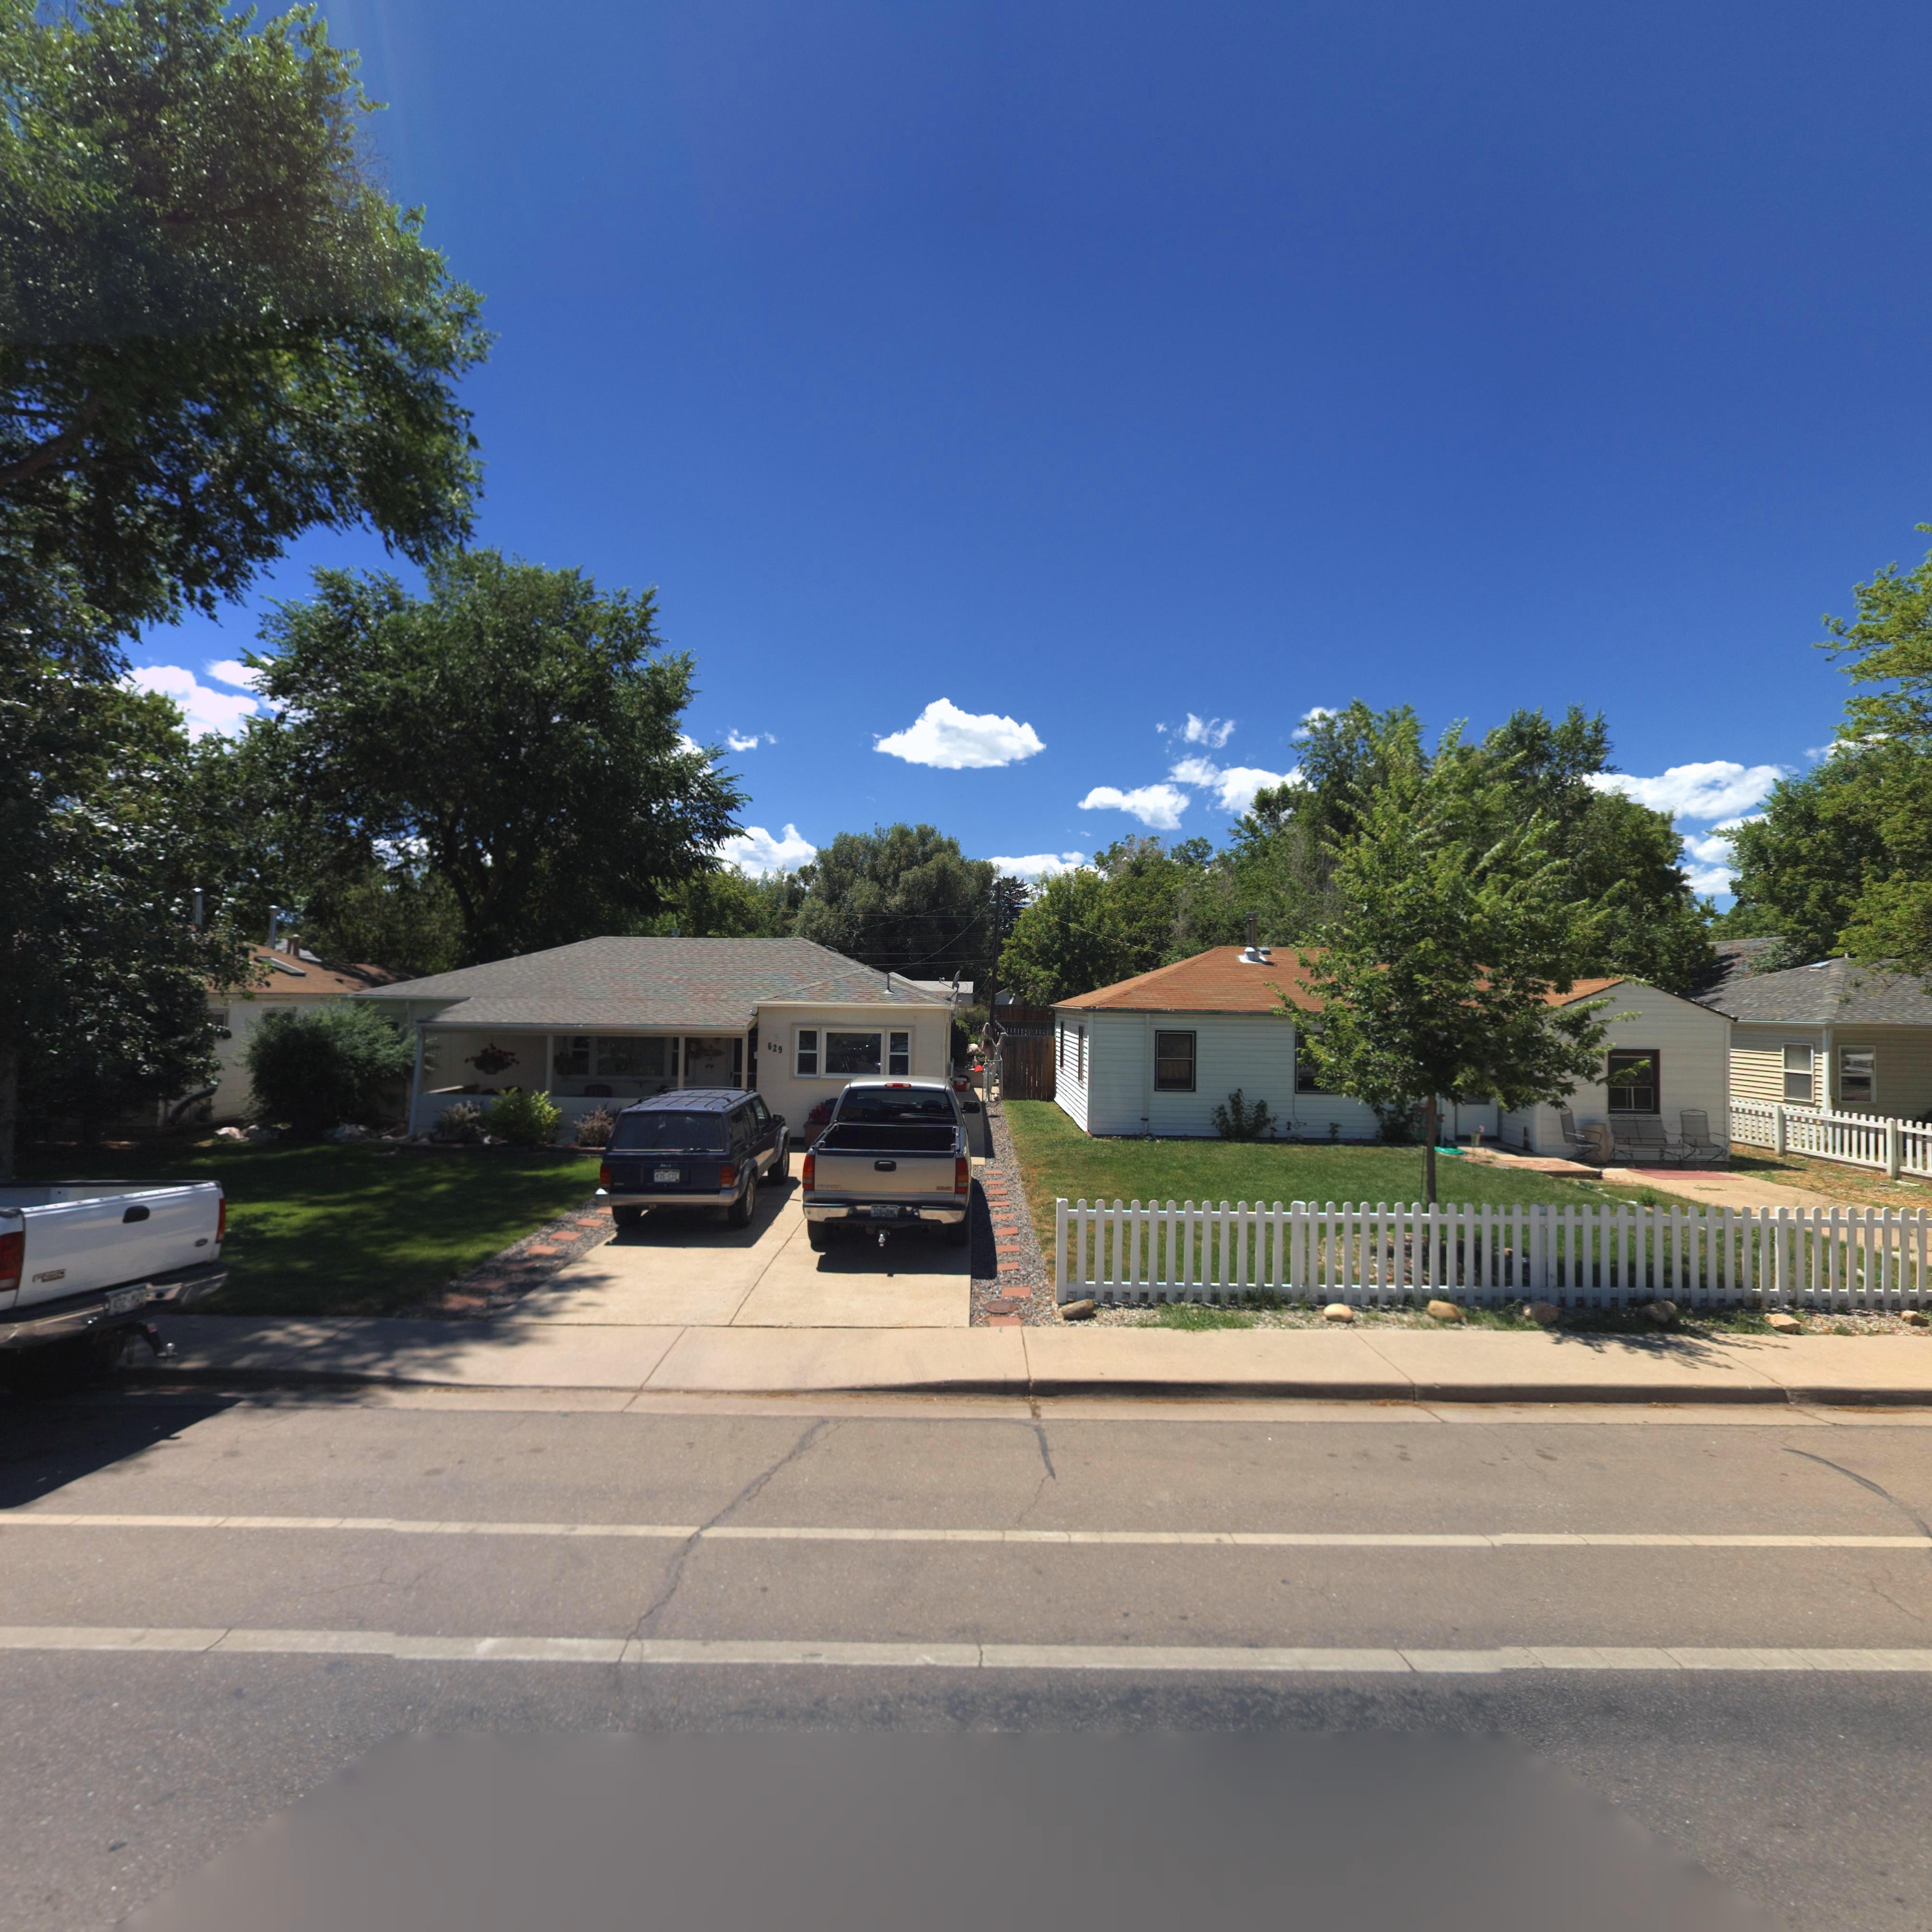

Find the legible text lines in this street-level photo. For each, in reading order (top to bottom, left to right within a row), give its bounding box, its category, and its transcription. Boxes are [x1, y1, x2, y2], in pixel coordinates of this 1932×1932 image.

[767, 1042, 782, 1054] StreetNumber: 629